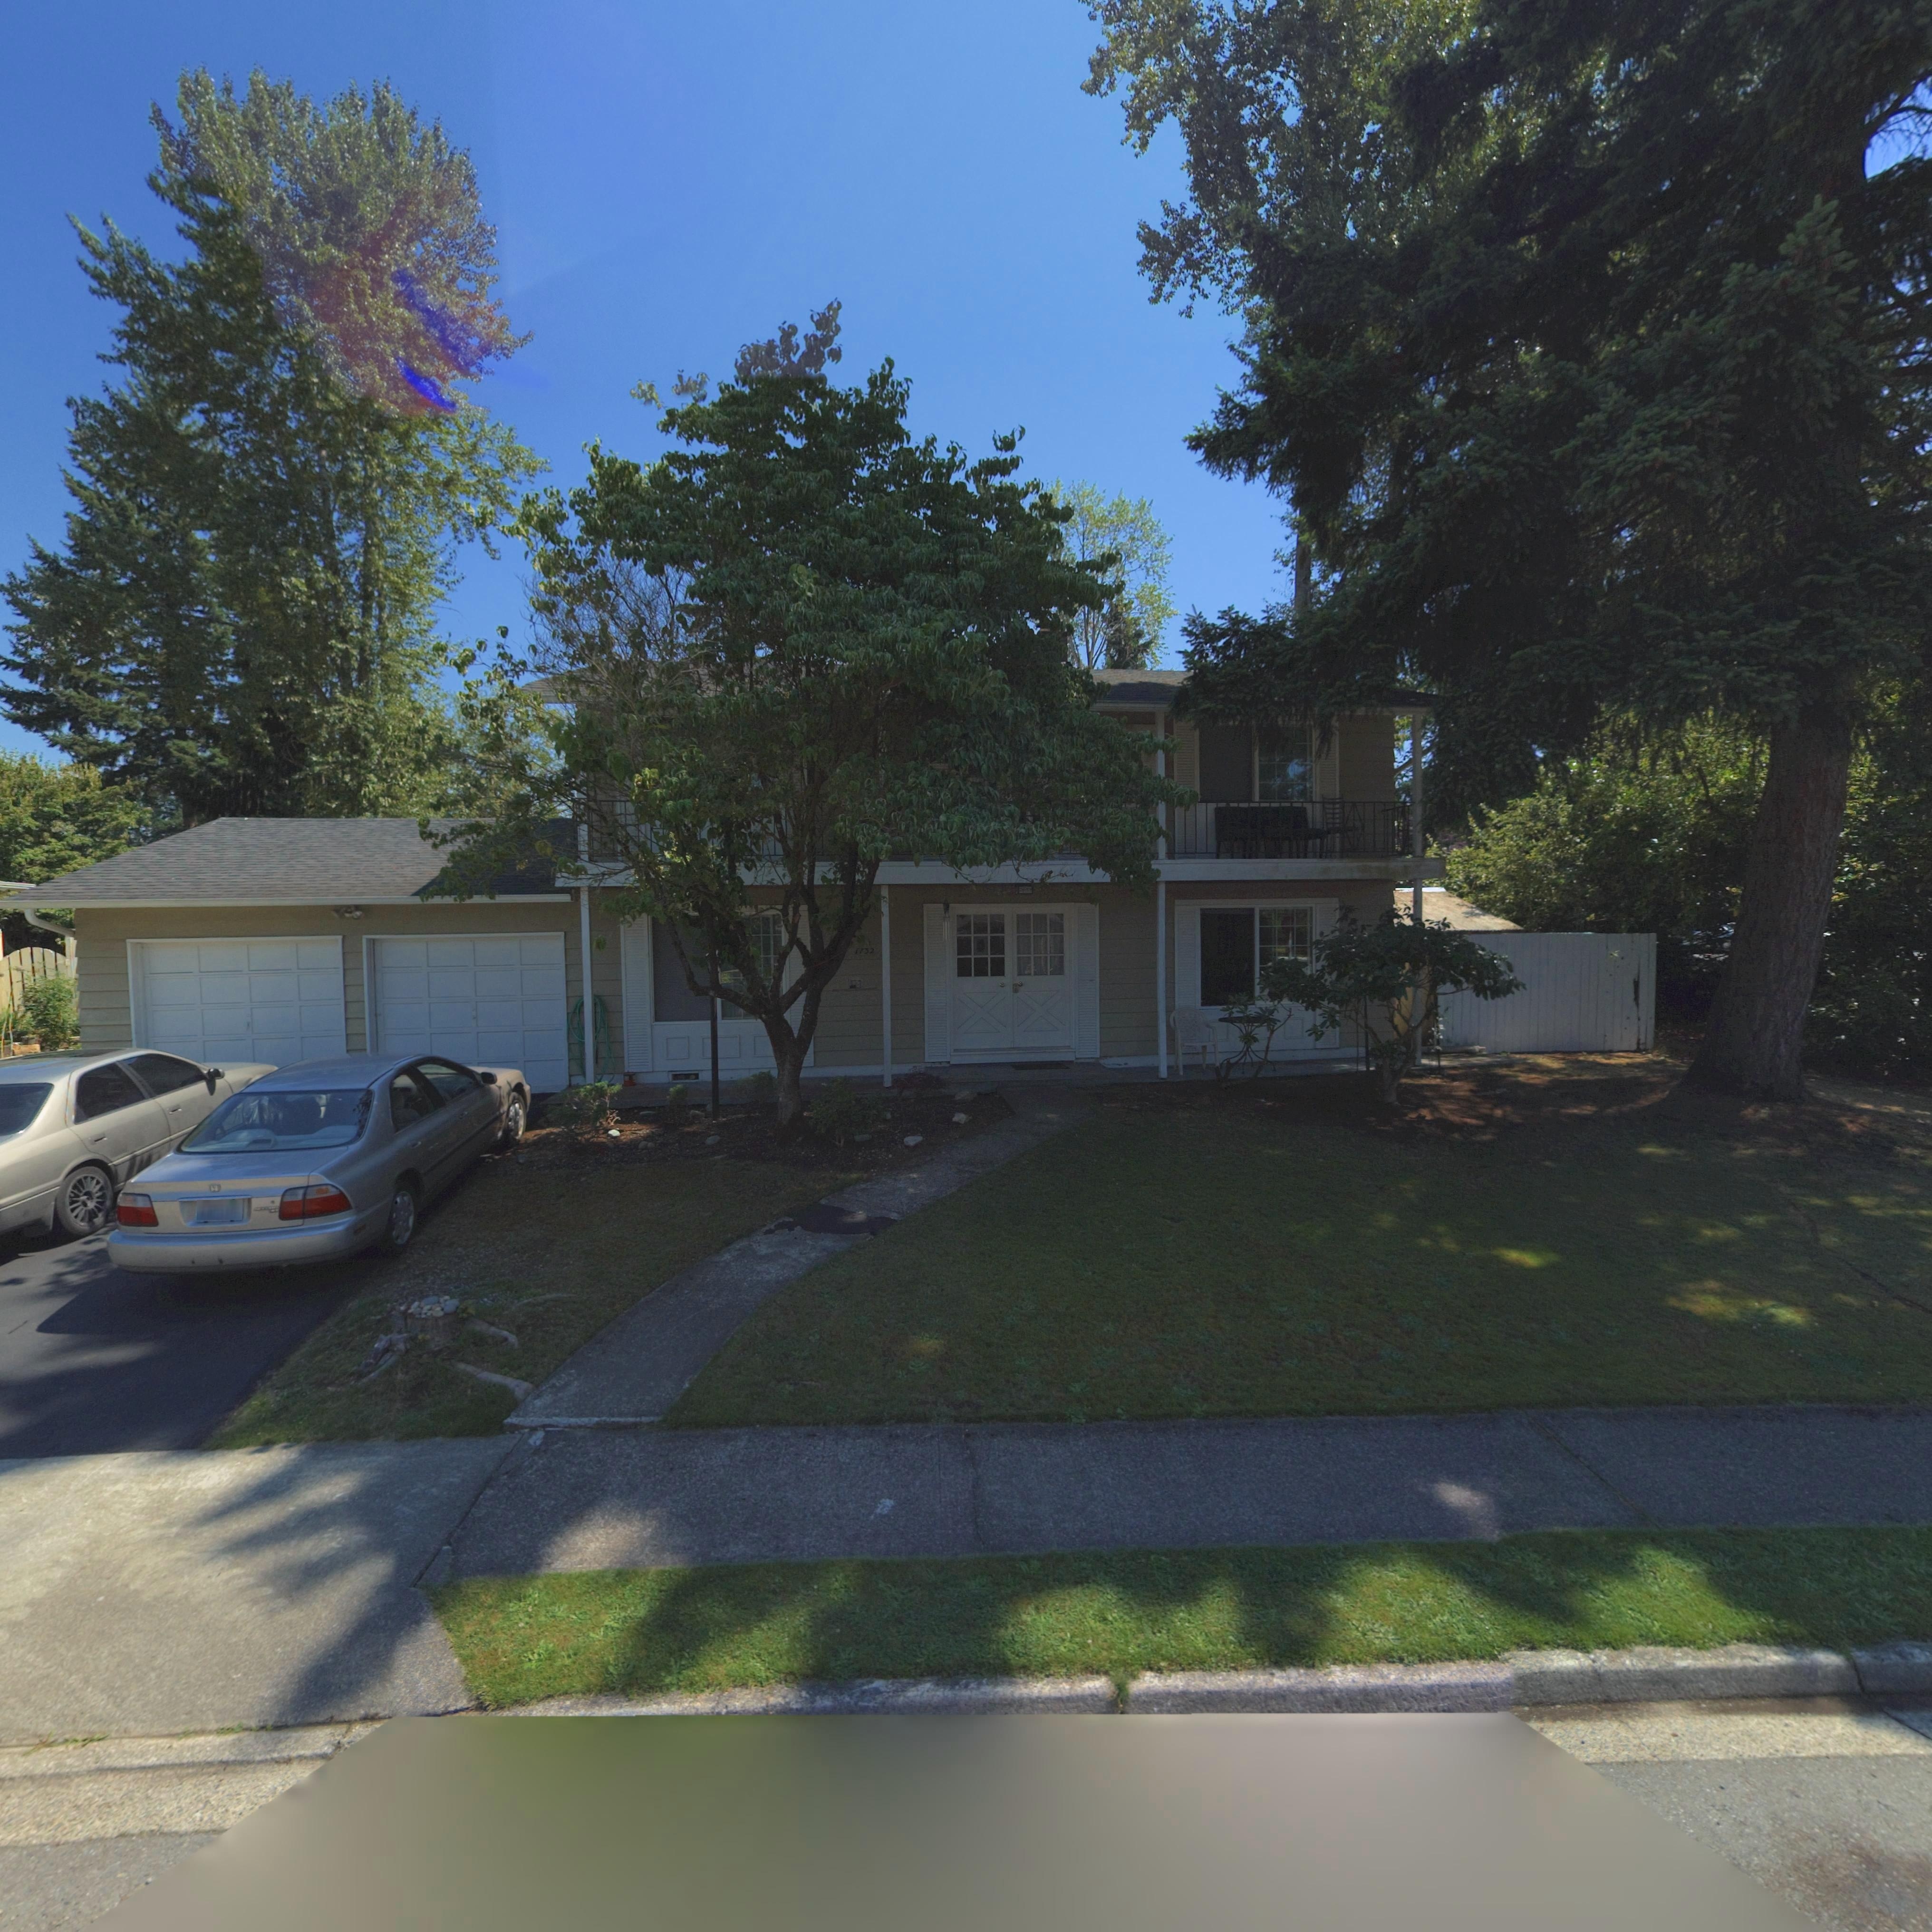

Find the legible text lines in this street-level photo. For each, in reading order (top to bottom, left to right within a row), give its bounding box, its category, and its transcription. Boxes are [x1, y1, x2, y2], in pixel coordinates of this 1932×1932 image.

[853, 947, 874, 955] StreetNumber: 1732